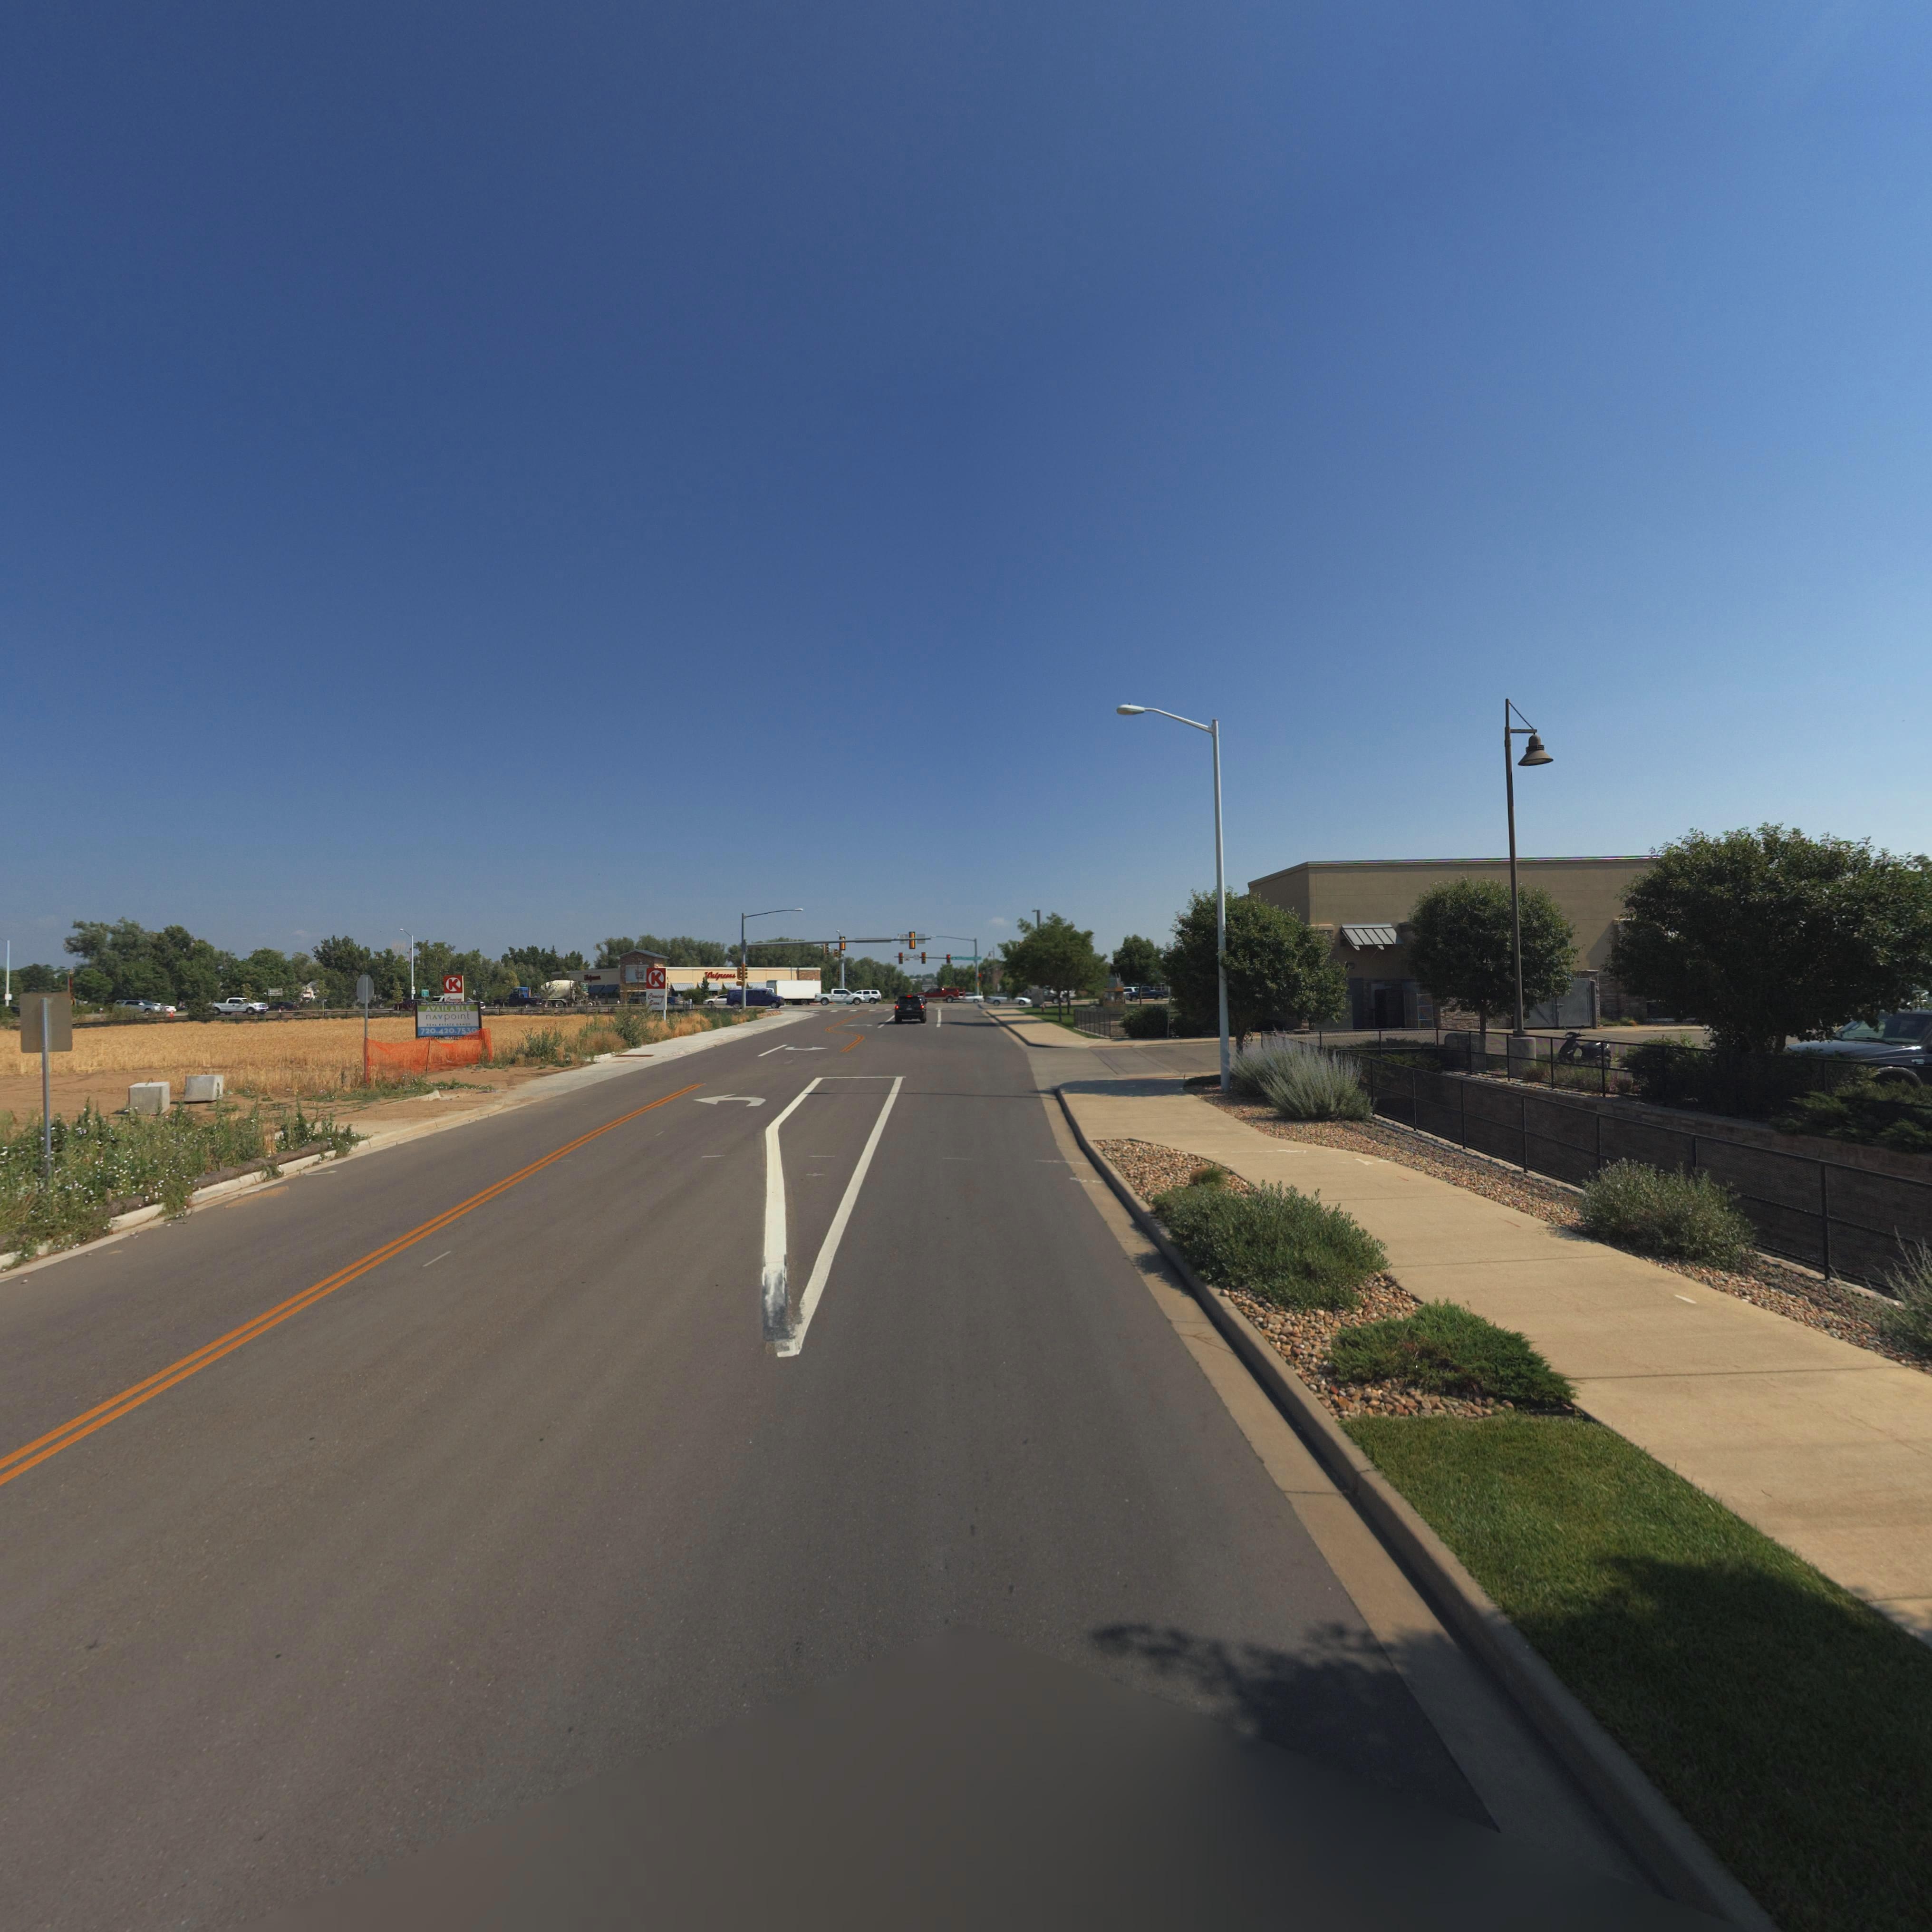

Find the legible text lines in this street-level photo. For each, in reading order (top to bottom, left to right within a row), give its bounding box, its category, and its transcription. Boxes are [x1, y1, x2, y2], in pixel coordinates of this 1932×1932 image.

[704, 971, 736, 981] BusinessName: Walgreens